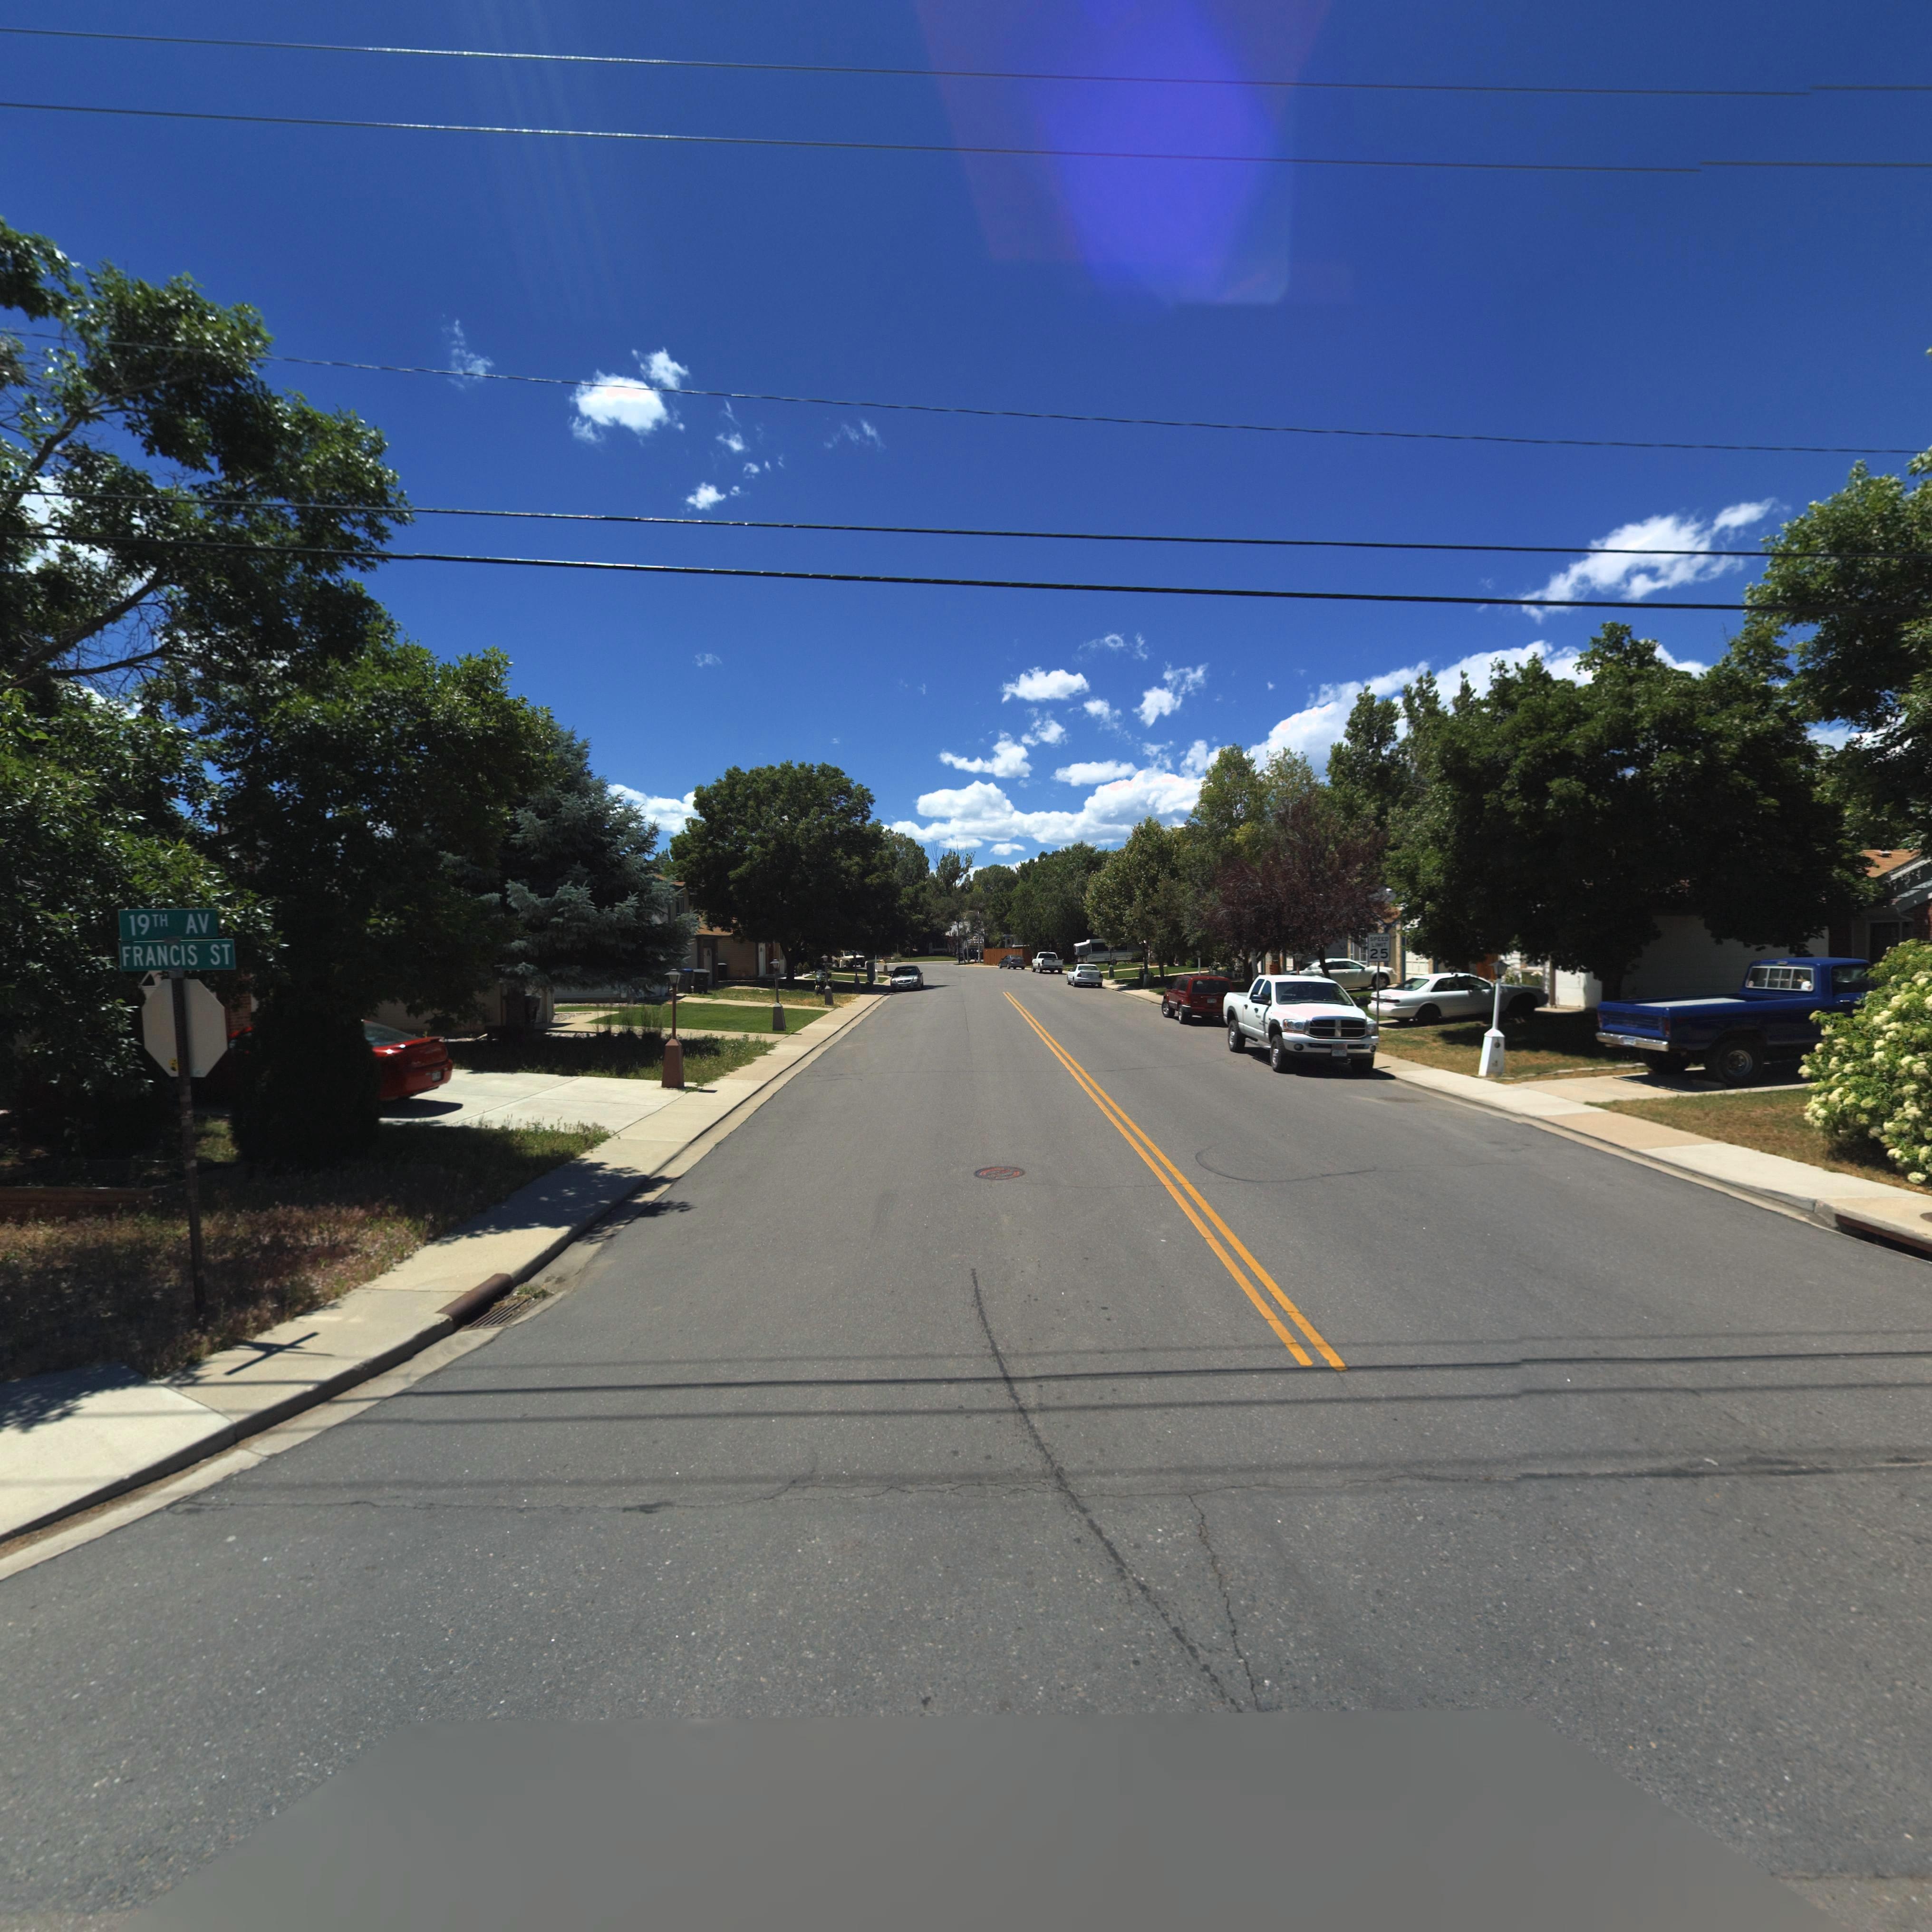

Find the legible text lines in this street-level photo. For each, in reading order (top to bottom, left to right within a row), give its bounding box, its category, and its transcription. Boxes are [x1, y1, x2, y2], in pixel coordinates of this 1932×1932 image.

[128, 912, 210, 937] StreetName: 19TH AV
[121, 943, 232, 967] StreetName: FRANCIS ST